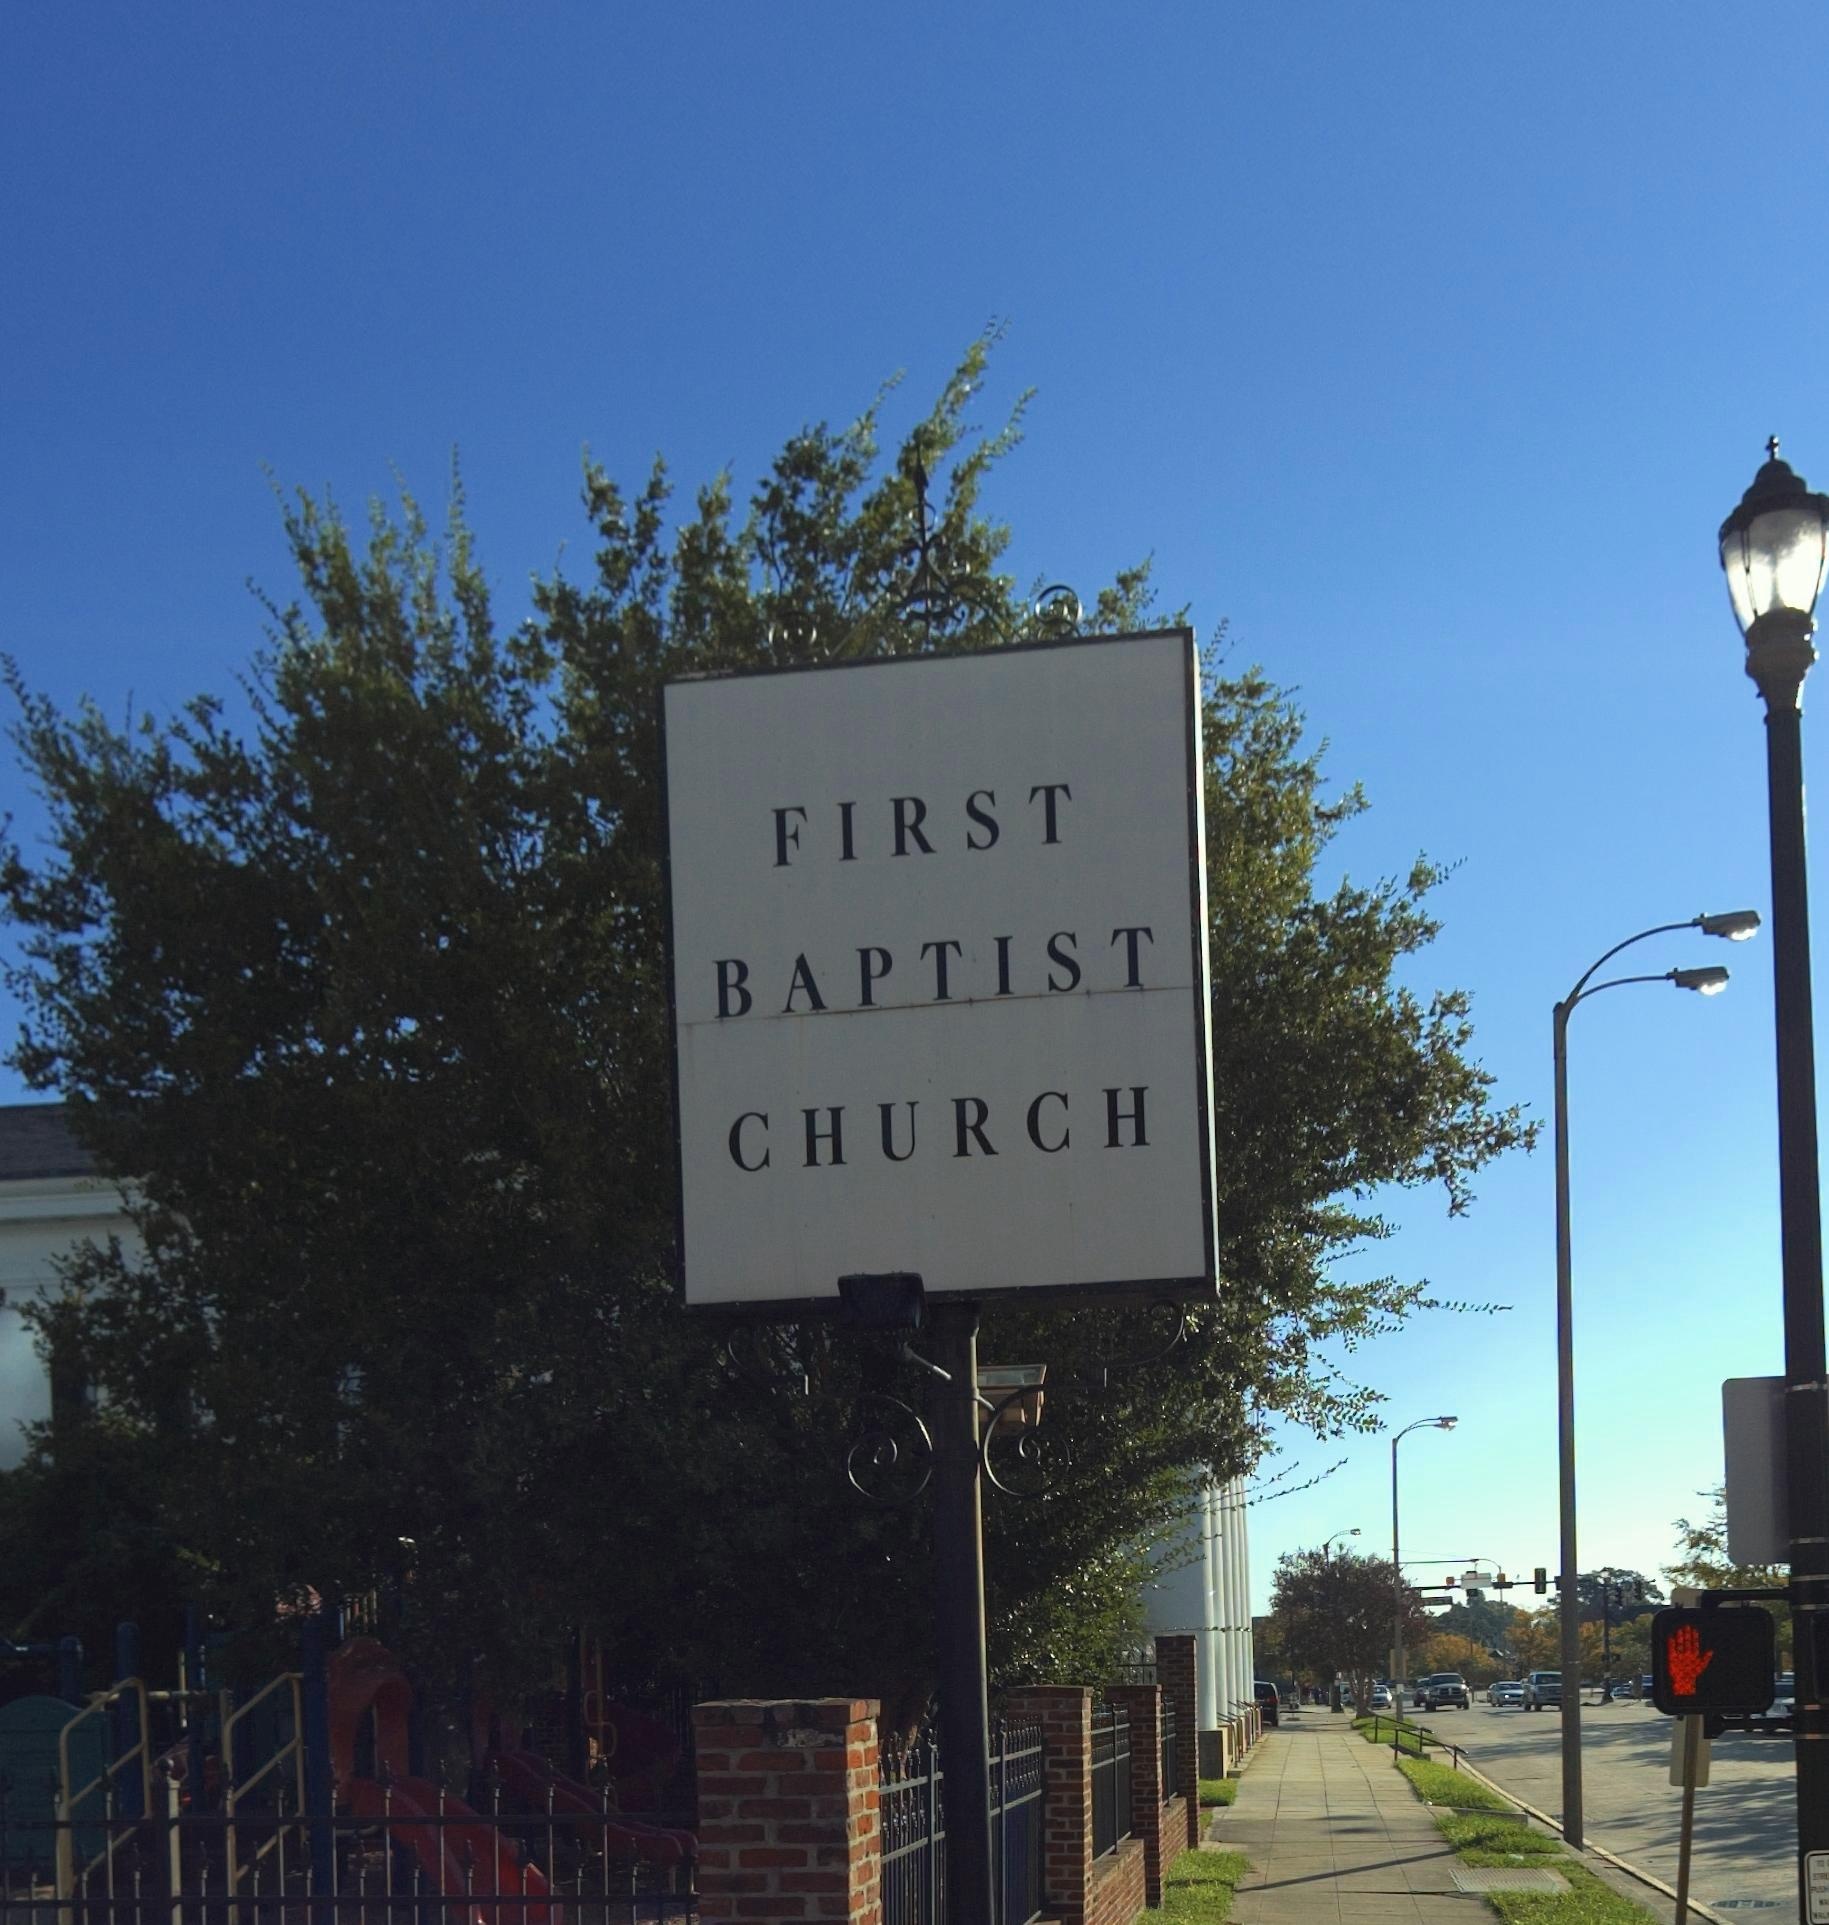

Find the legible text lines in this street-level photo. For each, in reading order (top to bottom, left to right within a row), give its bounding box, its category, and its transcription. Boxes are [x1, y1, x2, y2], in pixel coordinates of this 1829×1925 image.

[767, 778, 1078, 872] None: FIRST
[708, 921, 1158, 1022] None: BAPTIST
[726, 1081, 1156, 1176] None: CHURCH